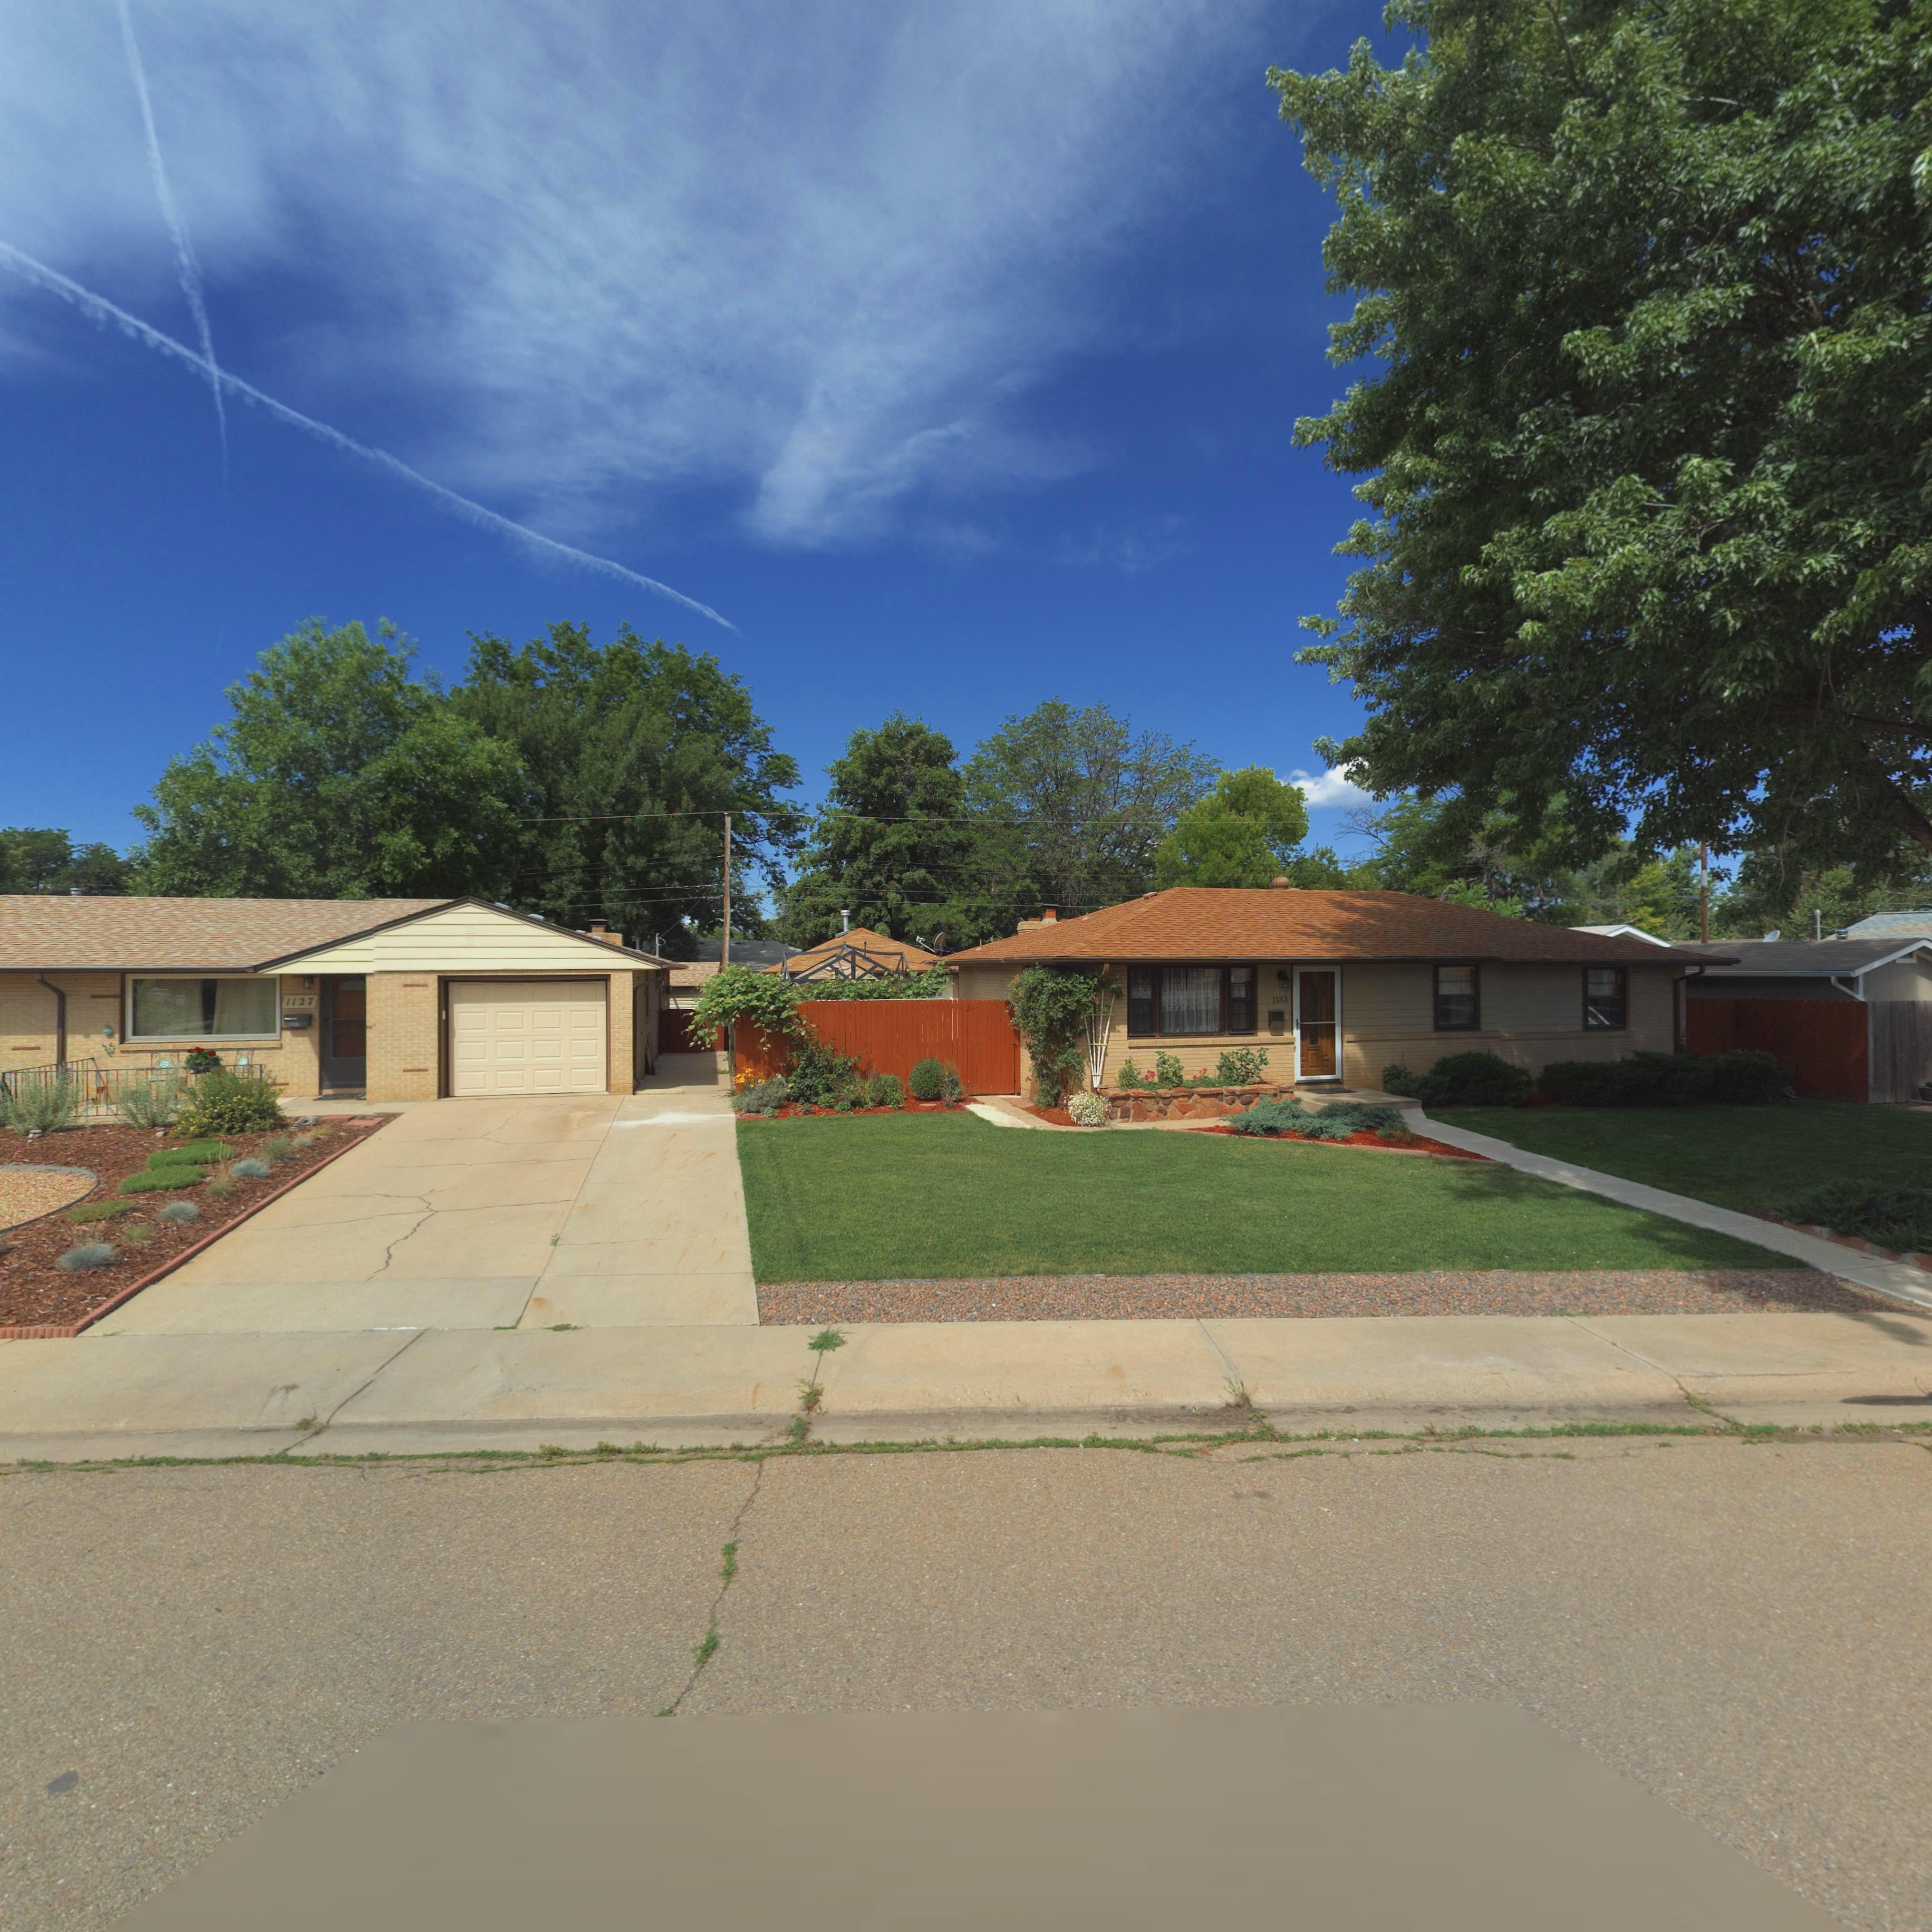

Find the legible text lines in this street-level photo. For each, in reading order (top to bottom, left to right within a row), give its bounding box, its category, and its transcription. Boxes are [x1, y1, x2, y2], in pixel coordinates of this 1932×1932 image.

[286, 997, 314, 1005] StreetNumber: 1127
[1272, 996, 1287, 1003] StreetNumber: 1133